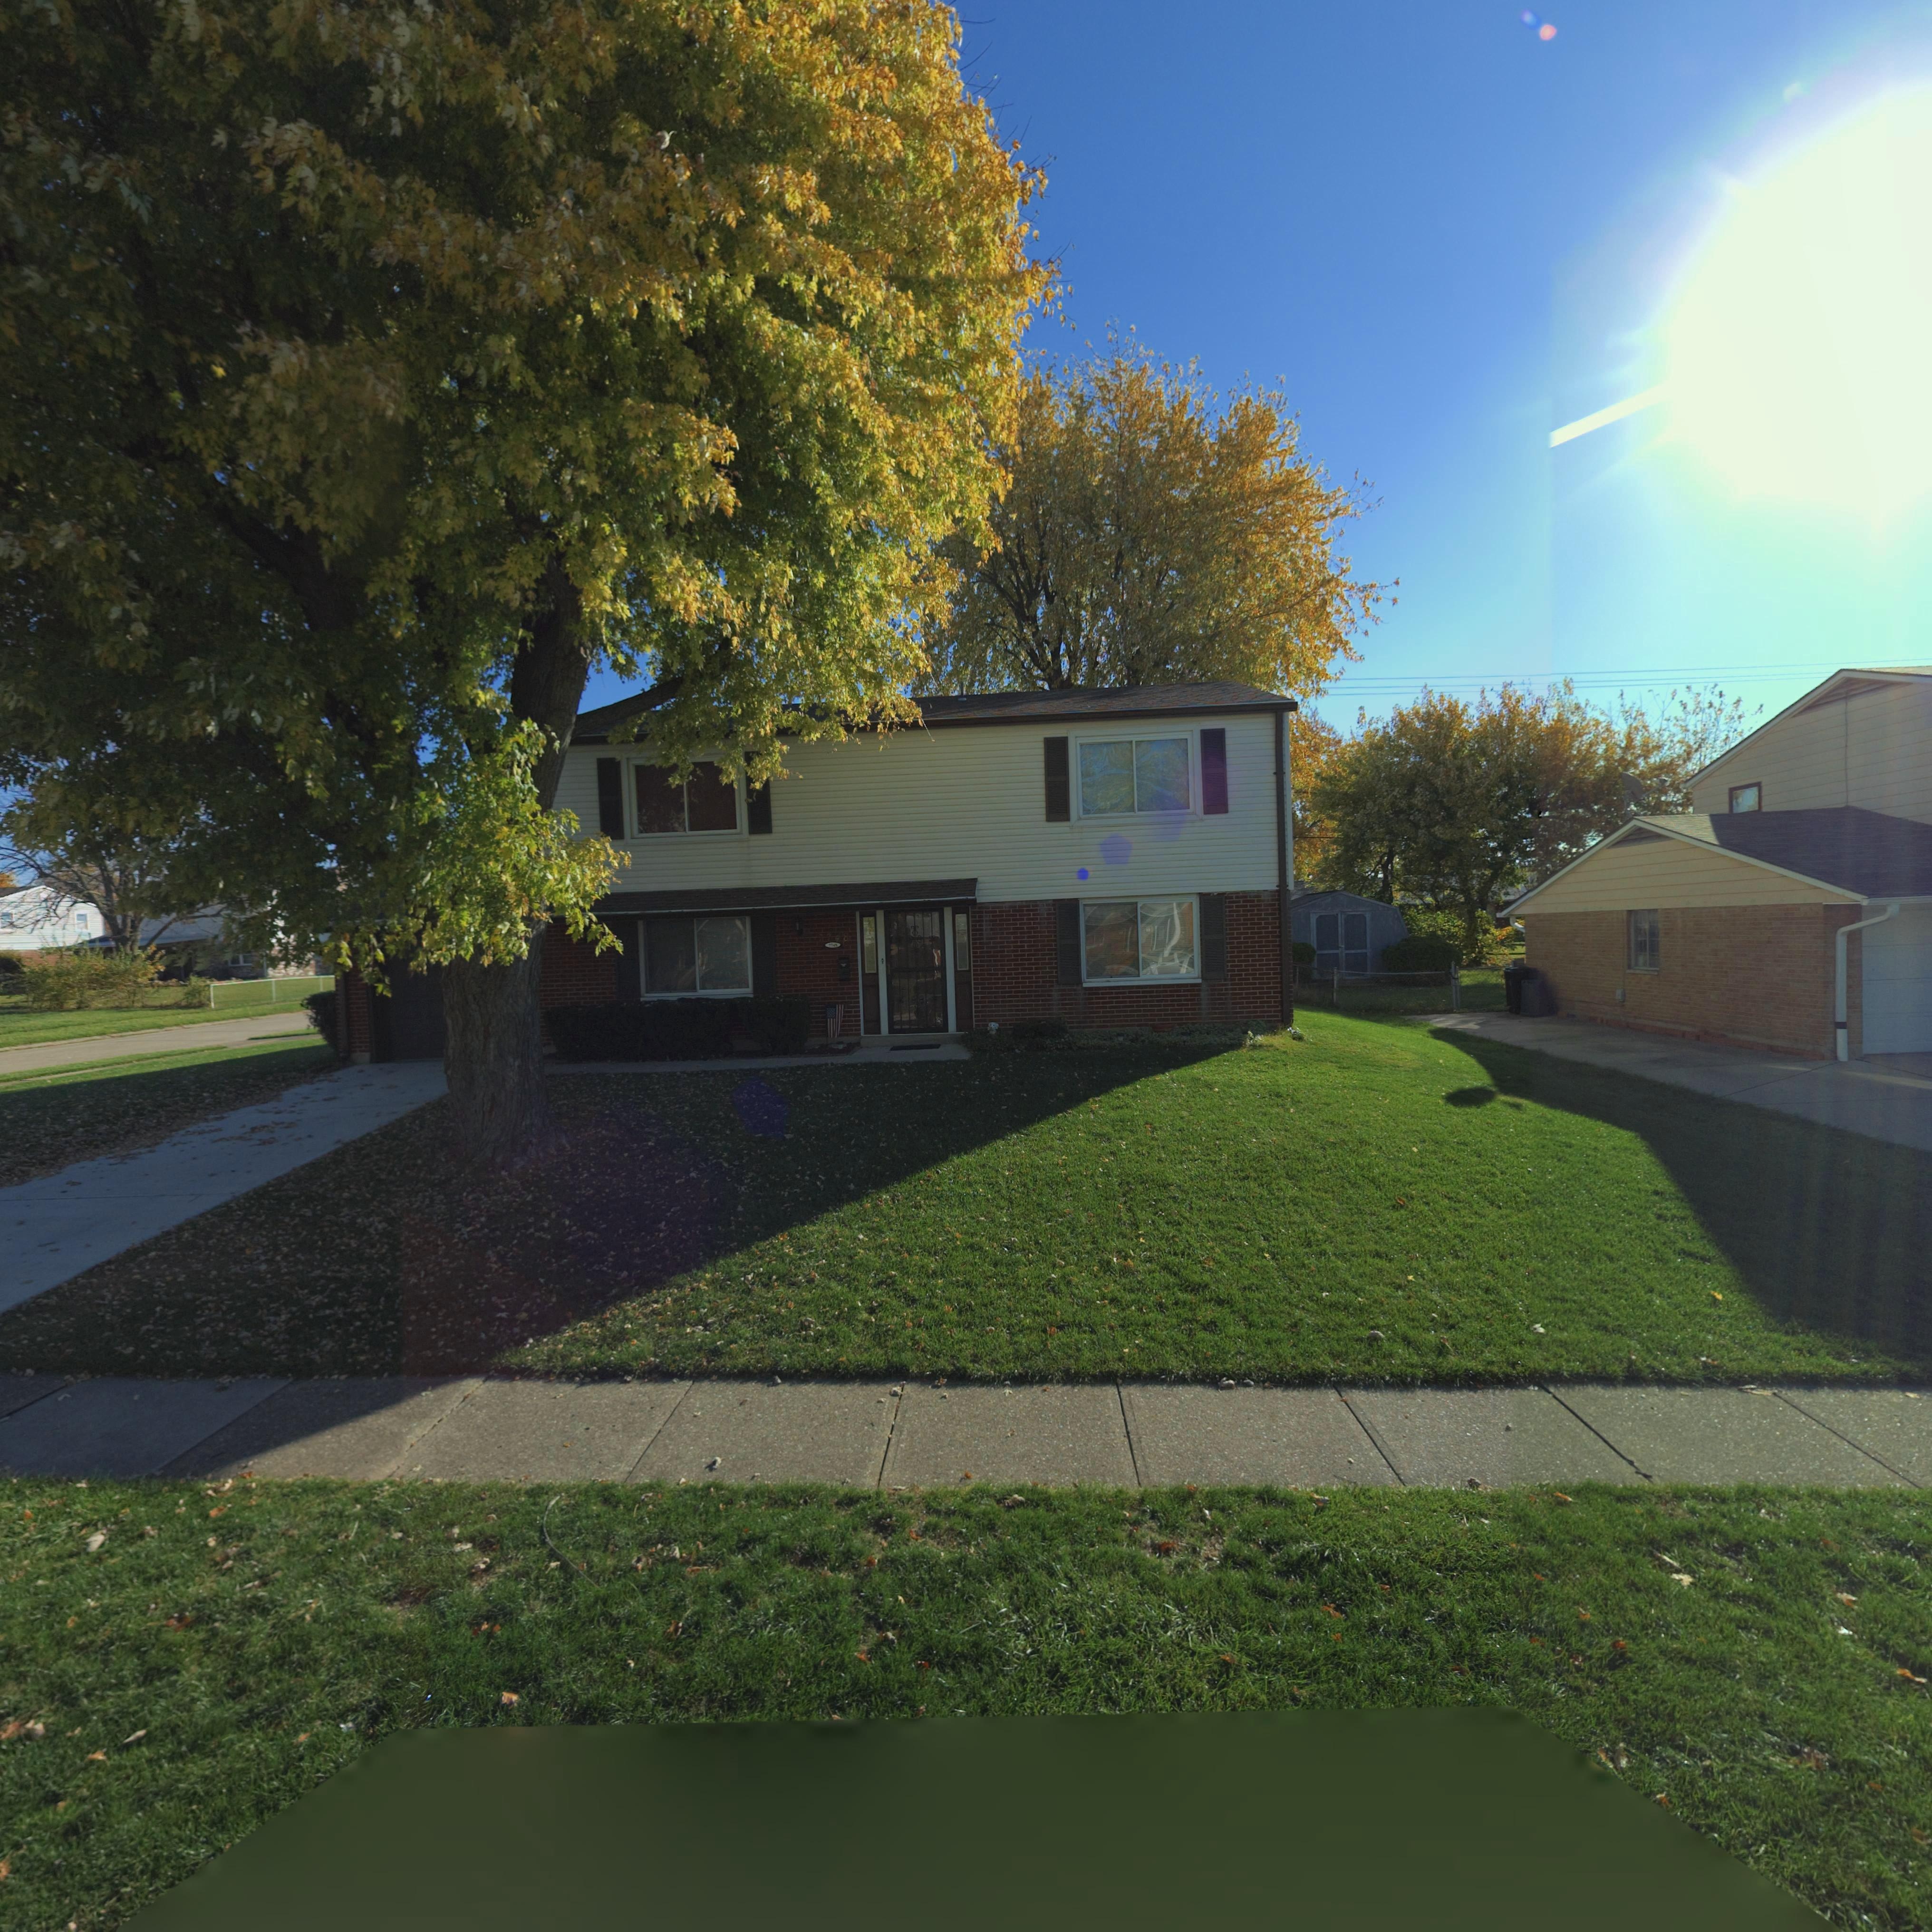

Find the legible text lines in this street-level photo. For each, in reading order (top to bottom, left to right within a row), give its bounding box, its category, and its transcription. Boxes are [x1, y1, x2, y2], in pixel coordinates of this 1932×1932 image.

[828, 942, 839, 948] StreetNumber: 724*